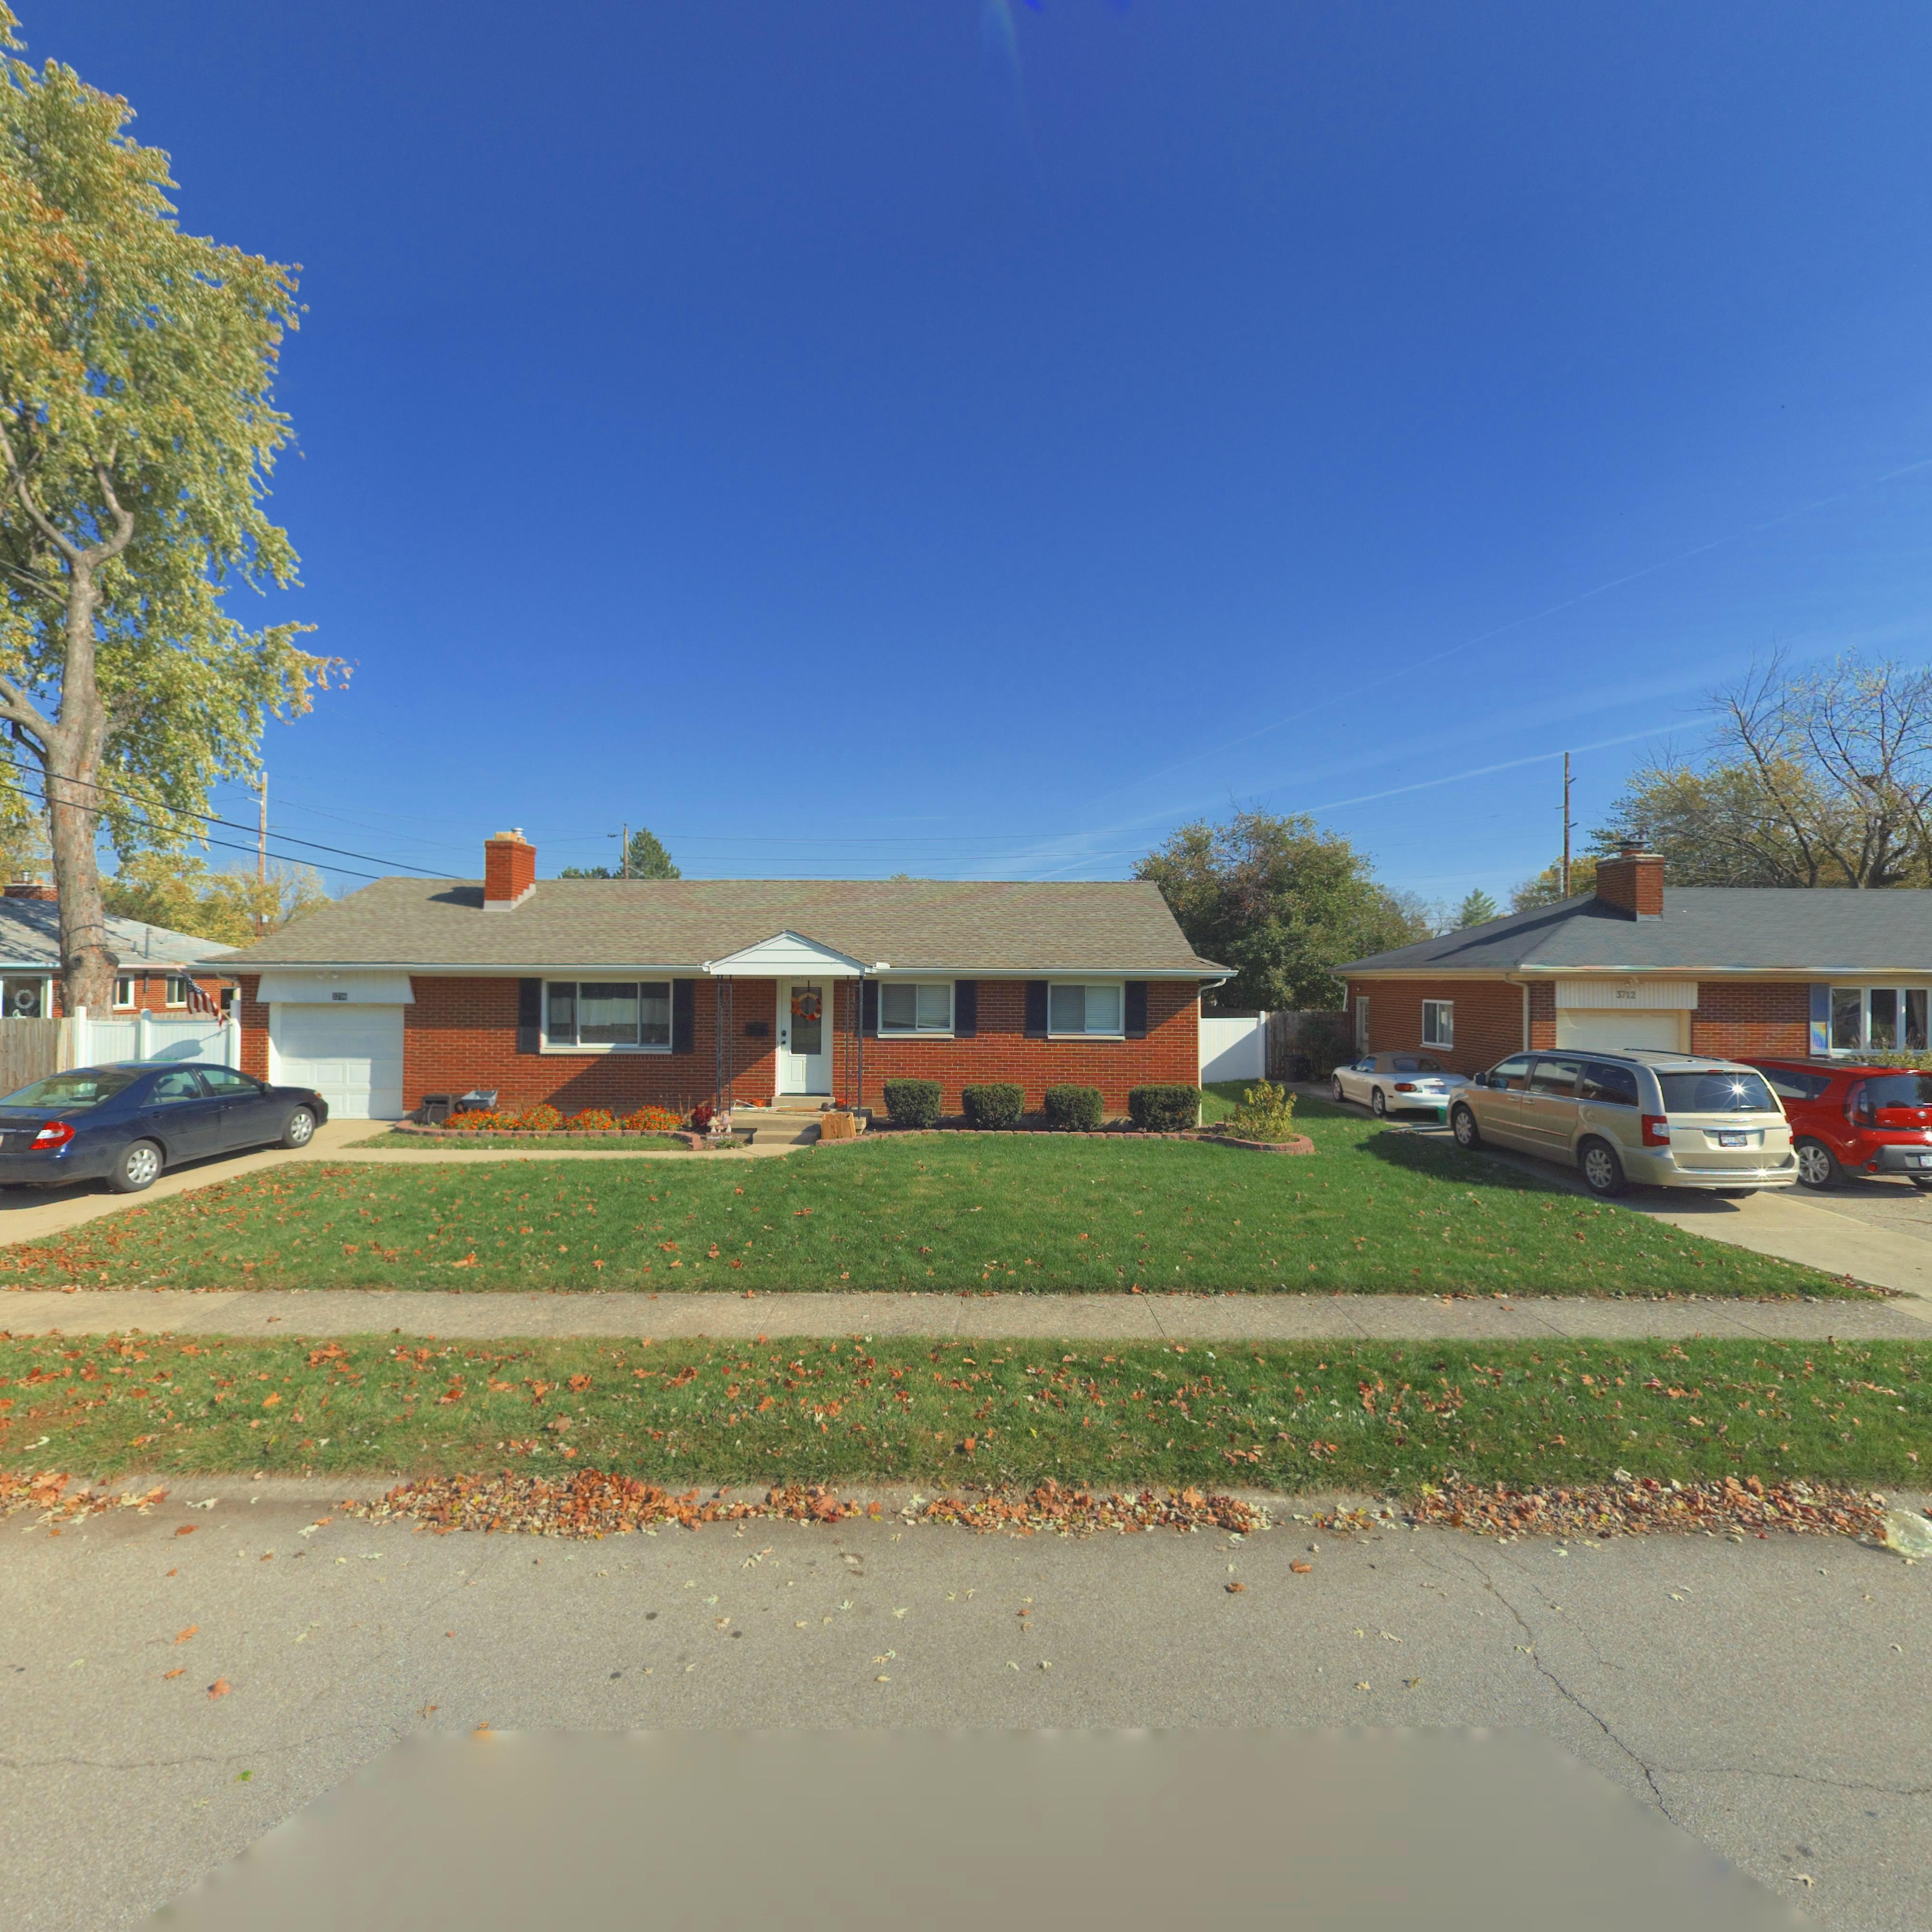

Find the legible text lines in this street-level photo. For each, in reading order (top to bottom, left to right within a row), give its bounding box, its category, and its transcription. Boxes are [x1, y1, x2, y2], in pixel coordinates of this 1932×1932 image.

[331, 992, 348, 1000] StreetNumber: *7**
[1615, 989, 1637, 999] StreetNumber: 3712